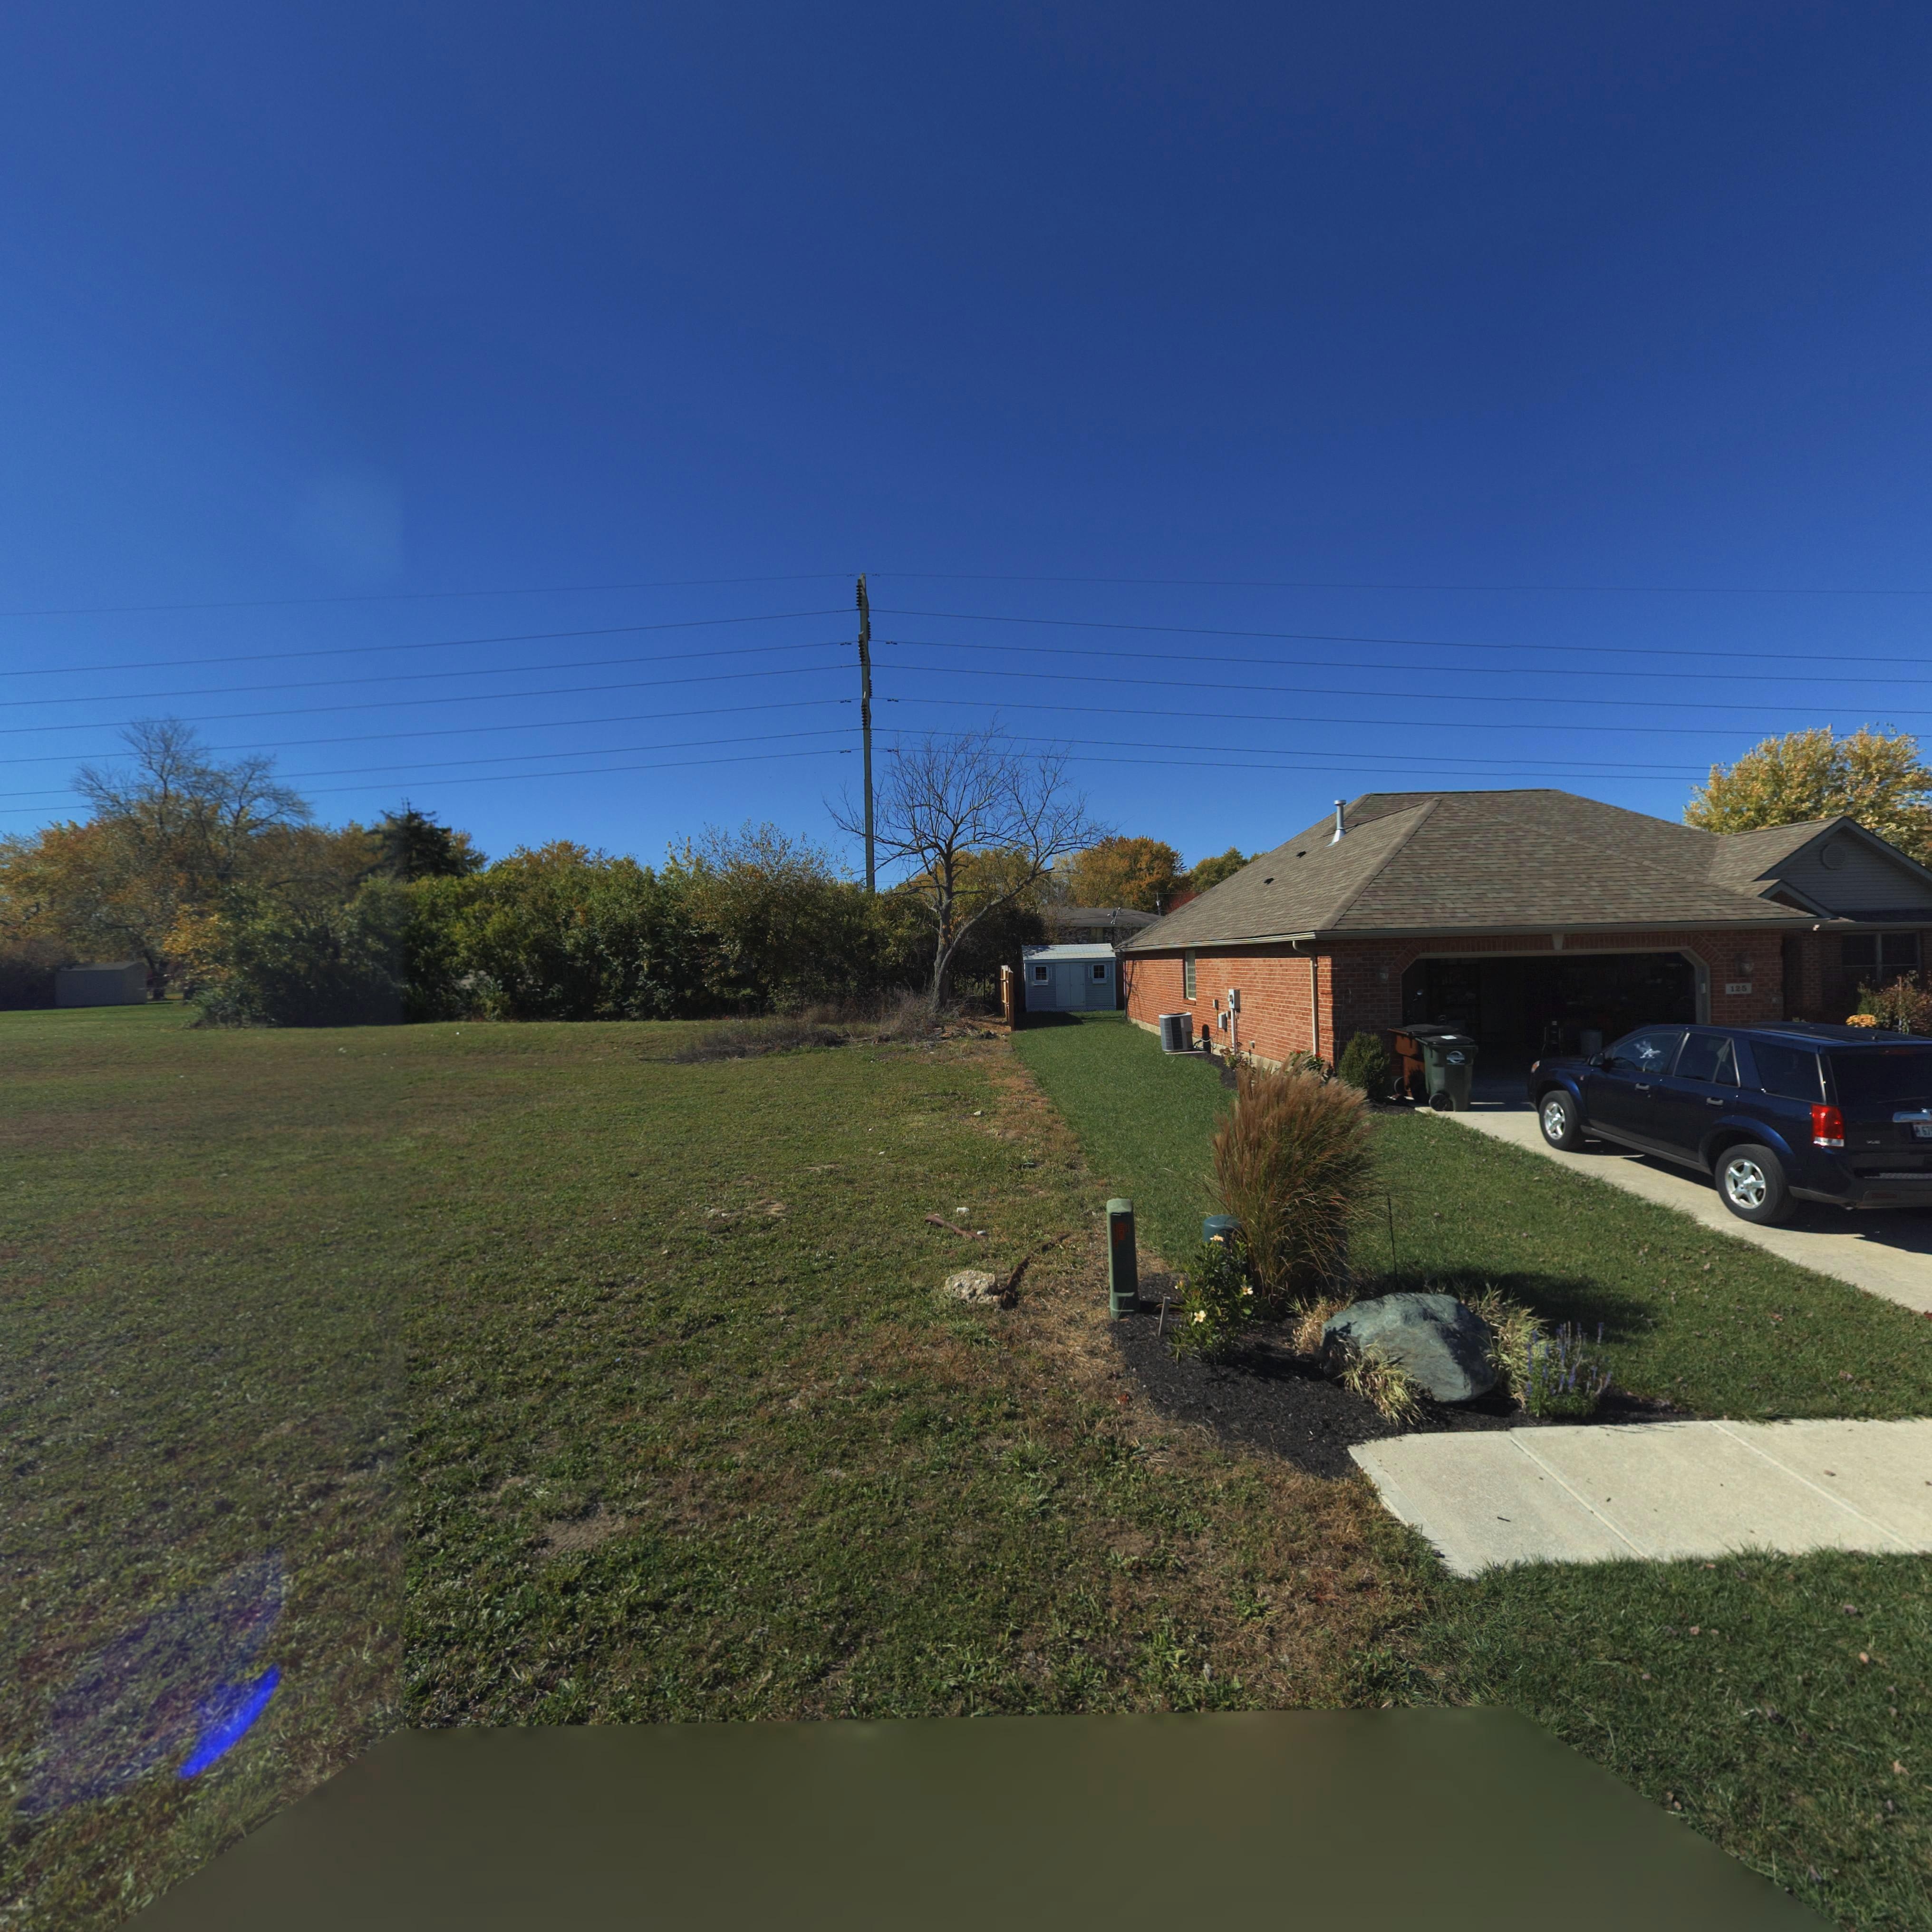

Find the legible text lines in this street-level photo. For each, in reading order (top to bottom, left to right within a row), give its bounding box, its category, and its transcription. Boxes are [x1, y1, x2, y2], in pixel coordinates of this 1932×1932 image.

[1730, 985, 1748, 993] StreetNumber: 125